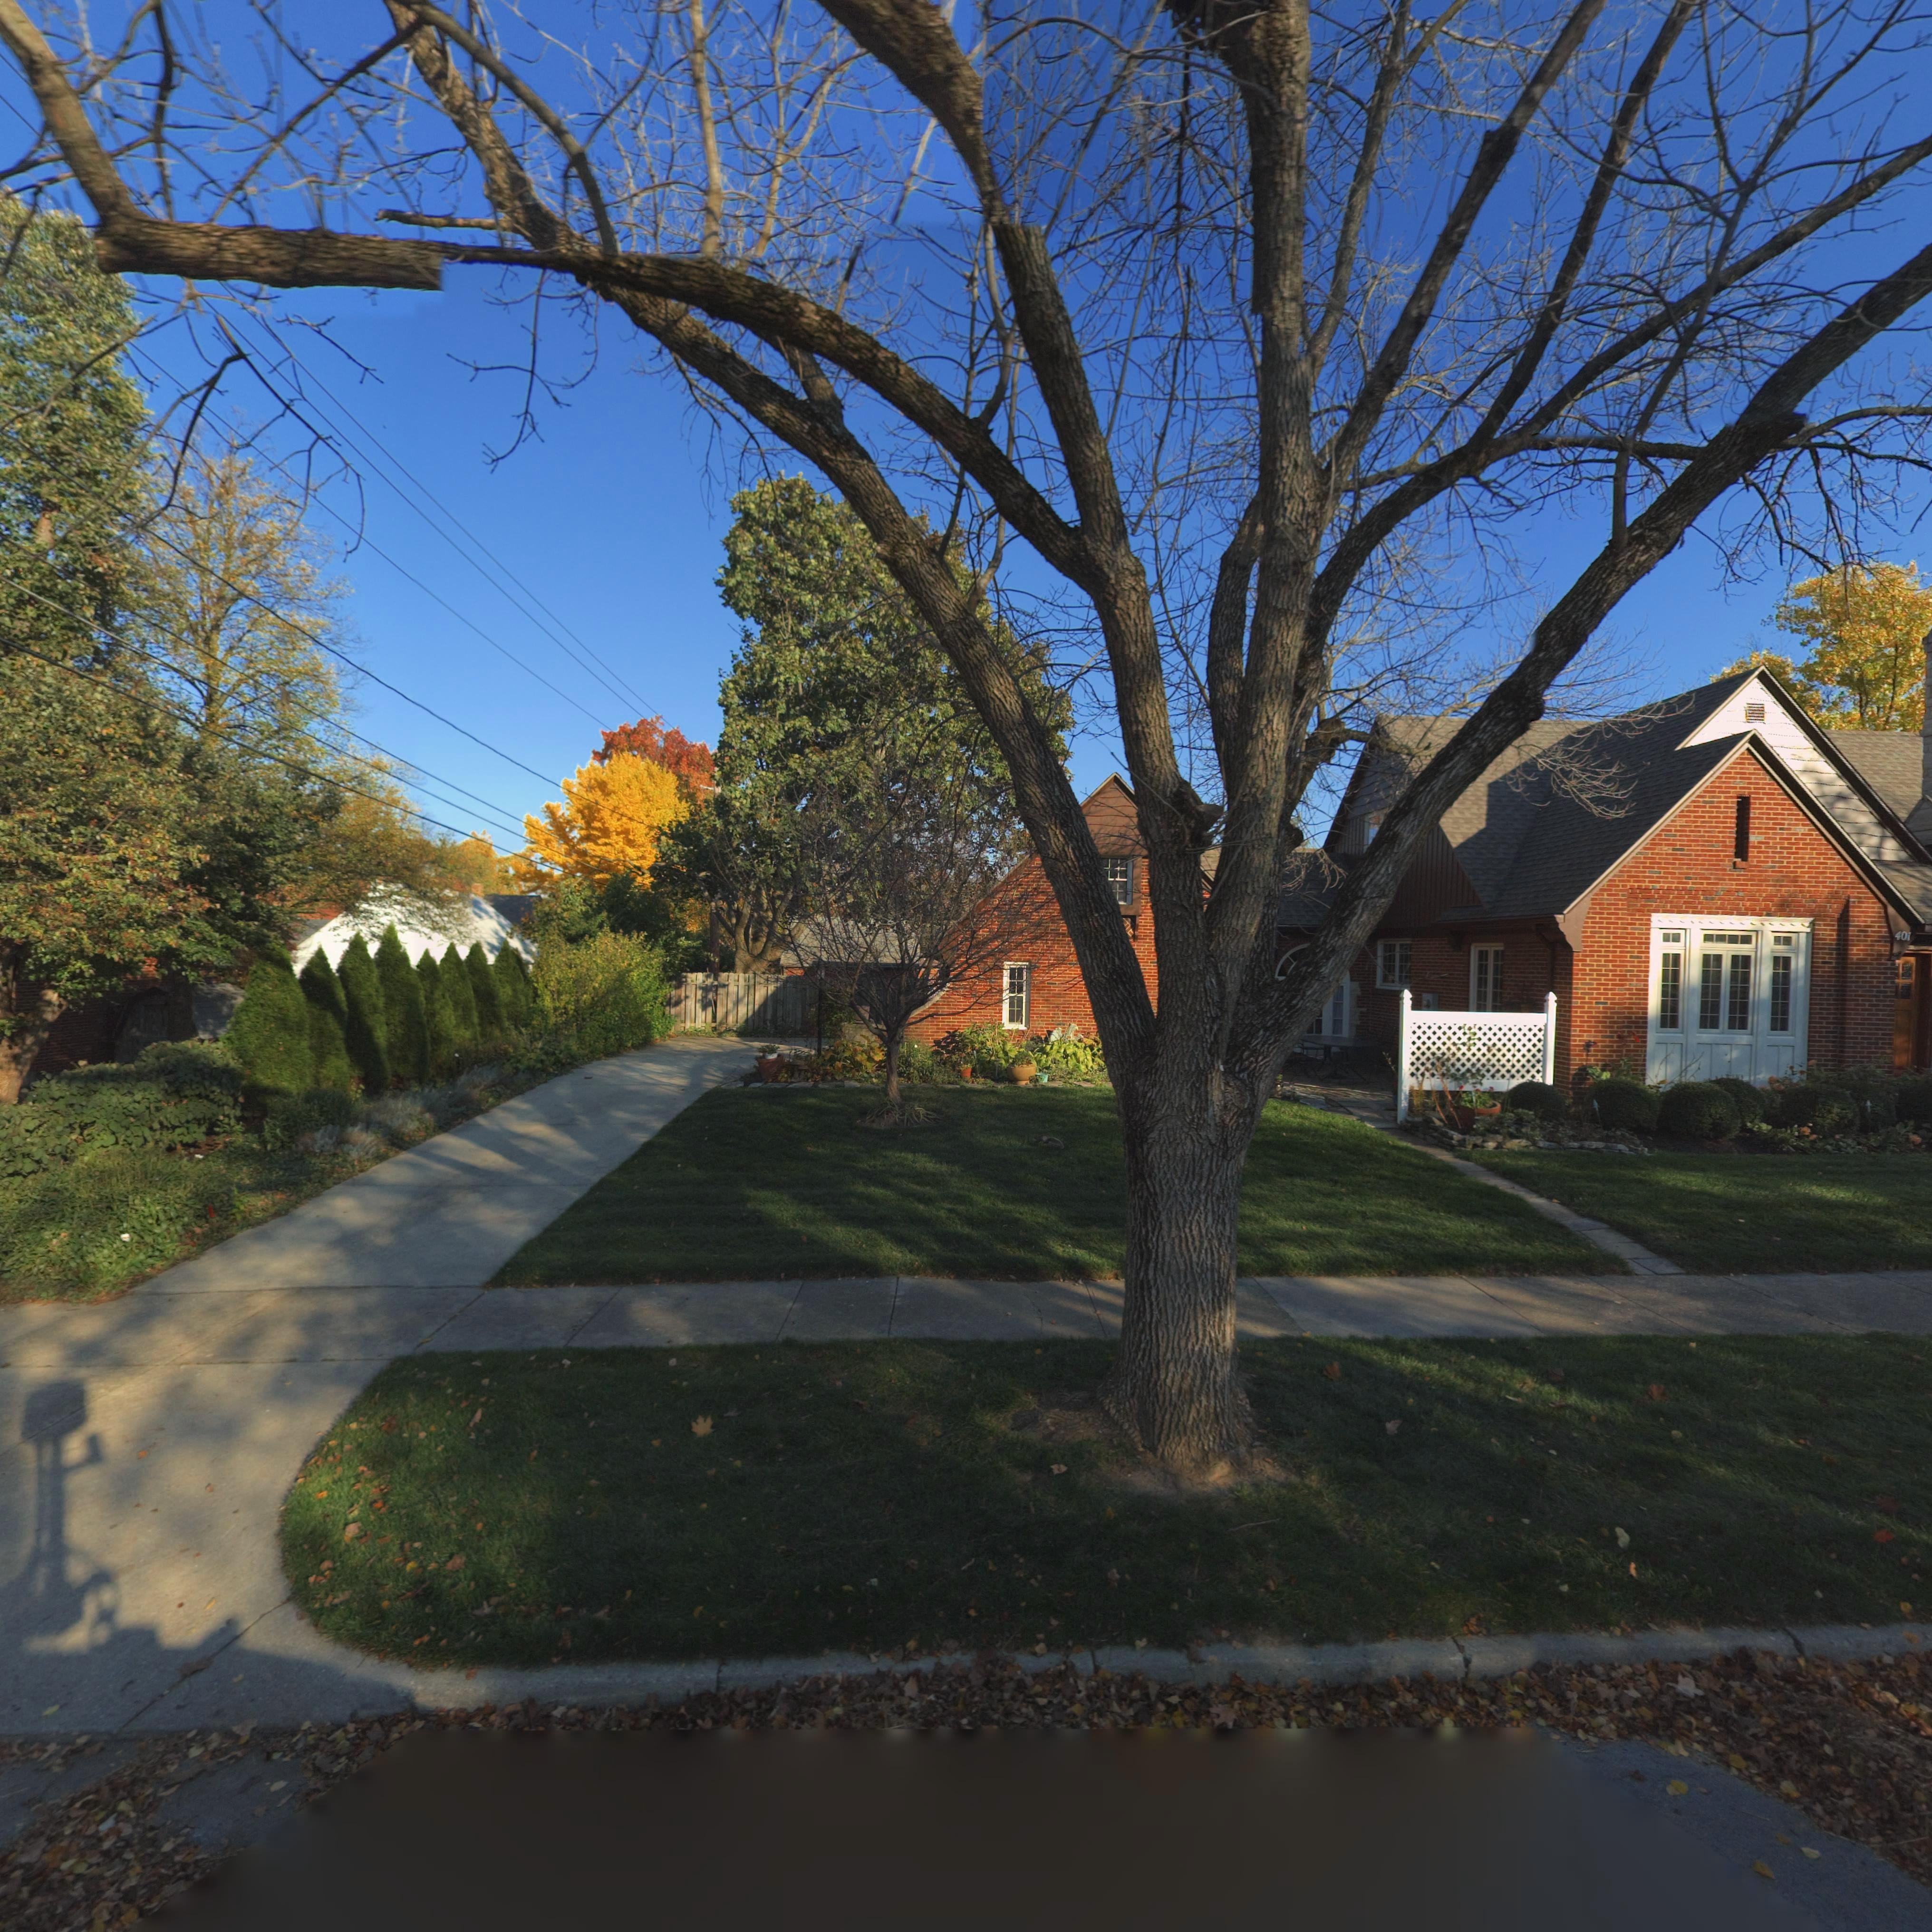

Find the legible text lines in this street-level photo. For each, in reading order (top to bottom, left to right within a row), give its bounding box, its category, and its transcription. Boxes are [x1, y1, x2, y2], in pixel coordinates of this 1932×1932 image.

[1893, 930, 1913, 942] StreetNumber: 401